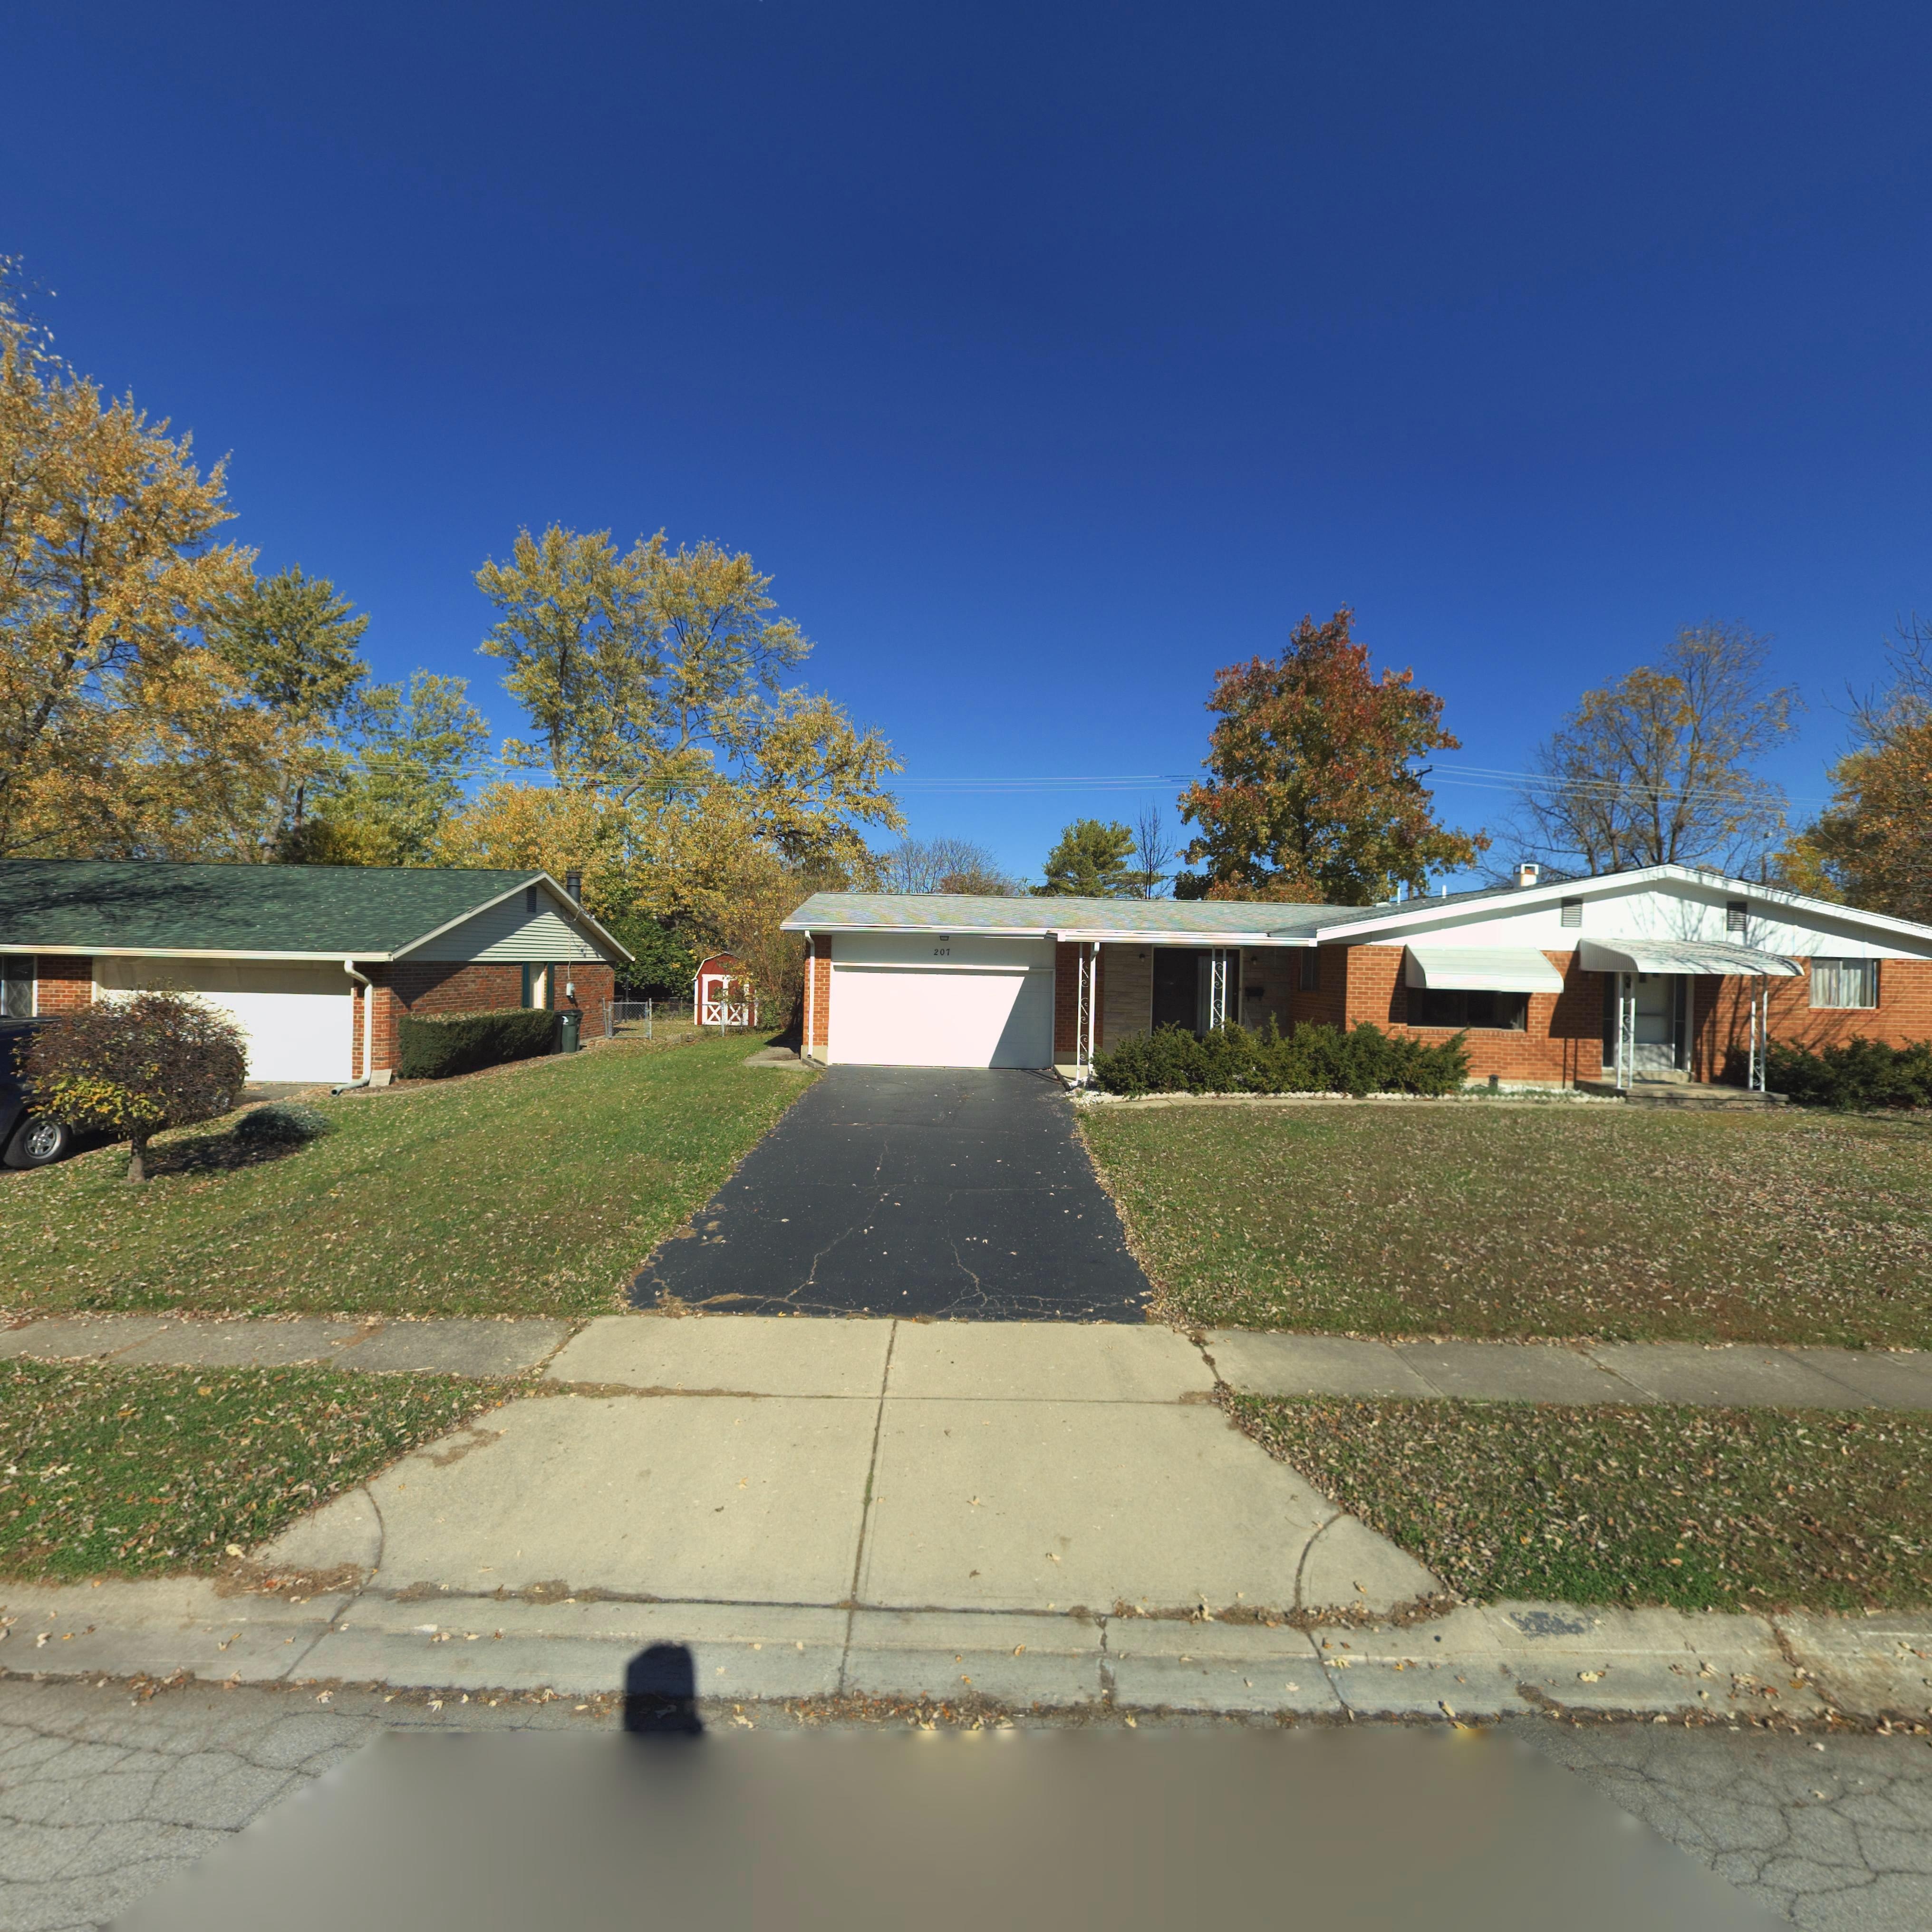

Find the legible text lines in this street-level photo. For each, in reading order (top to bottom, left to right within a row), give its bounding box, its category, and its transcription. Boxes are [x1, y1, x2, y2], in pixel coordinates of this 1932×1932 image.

[932, 947, 952, 957] StreetNumber: 207